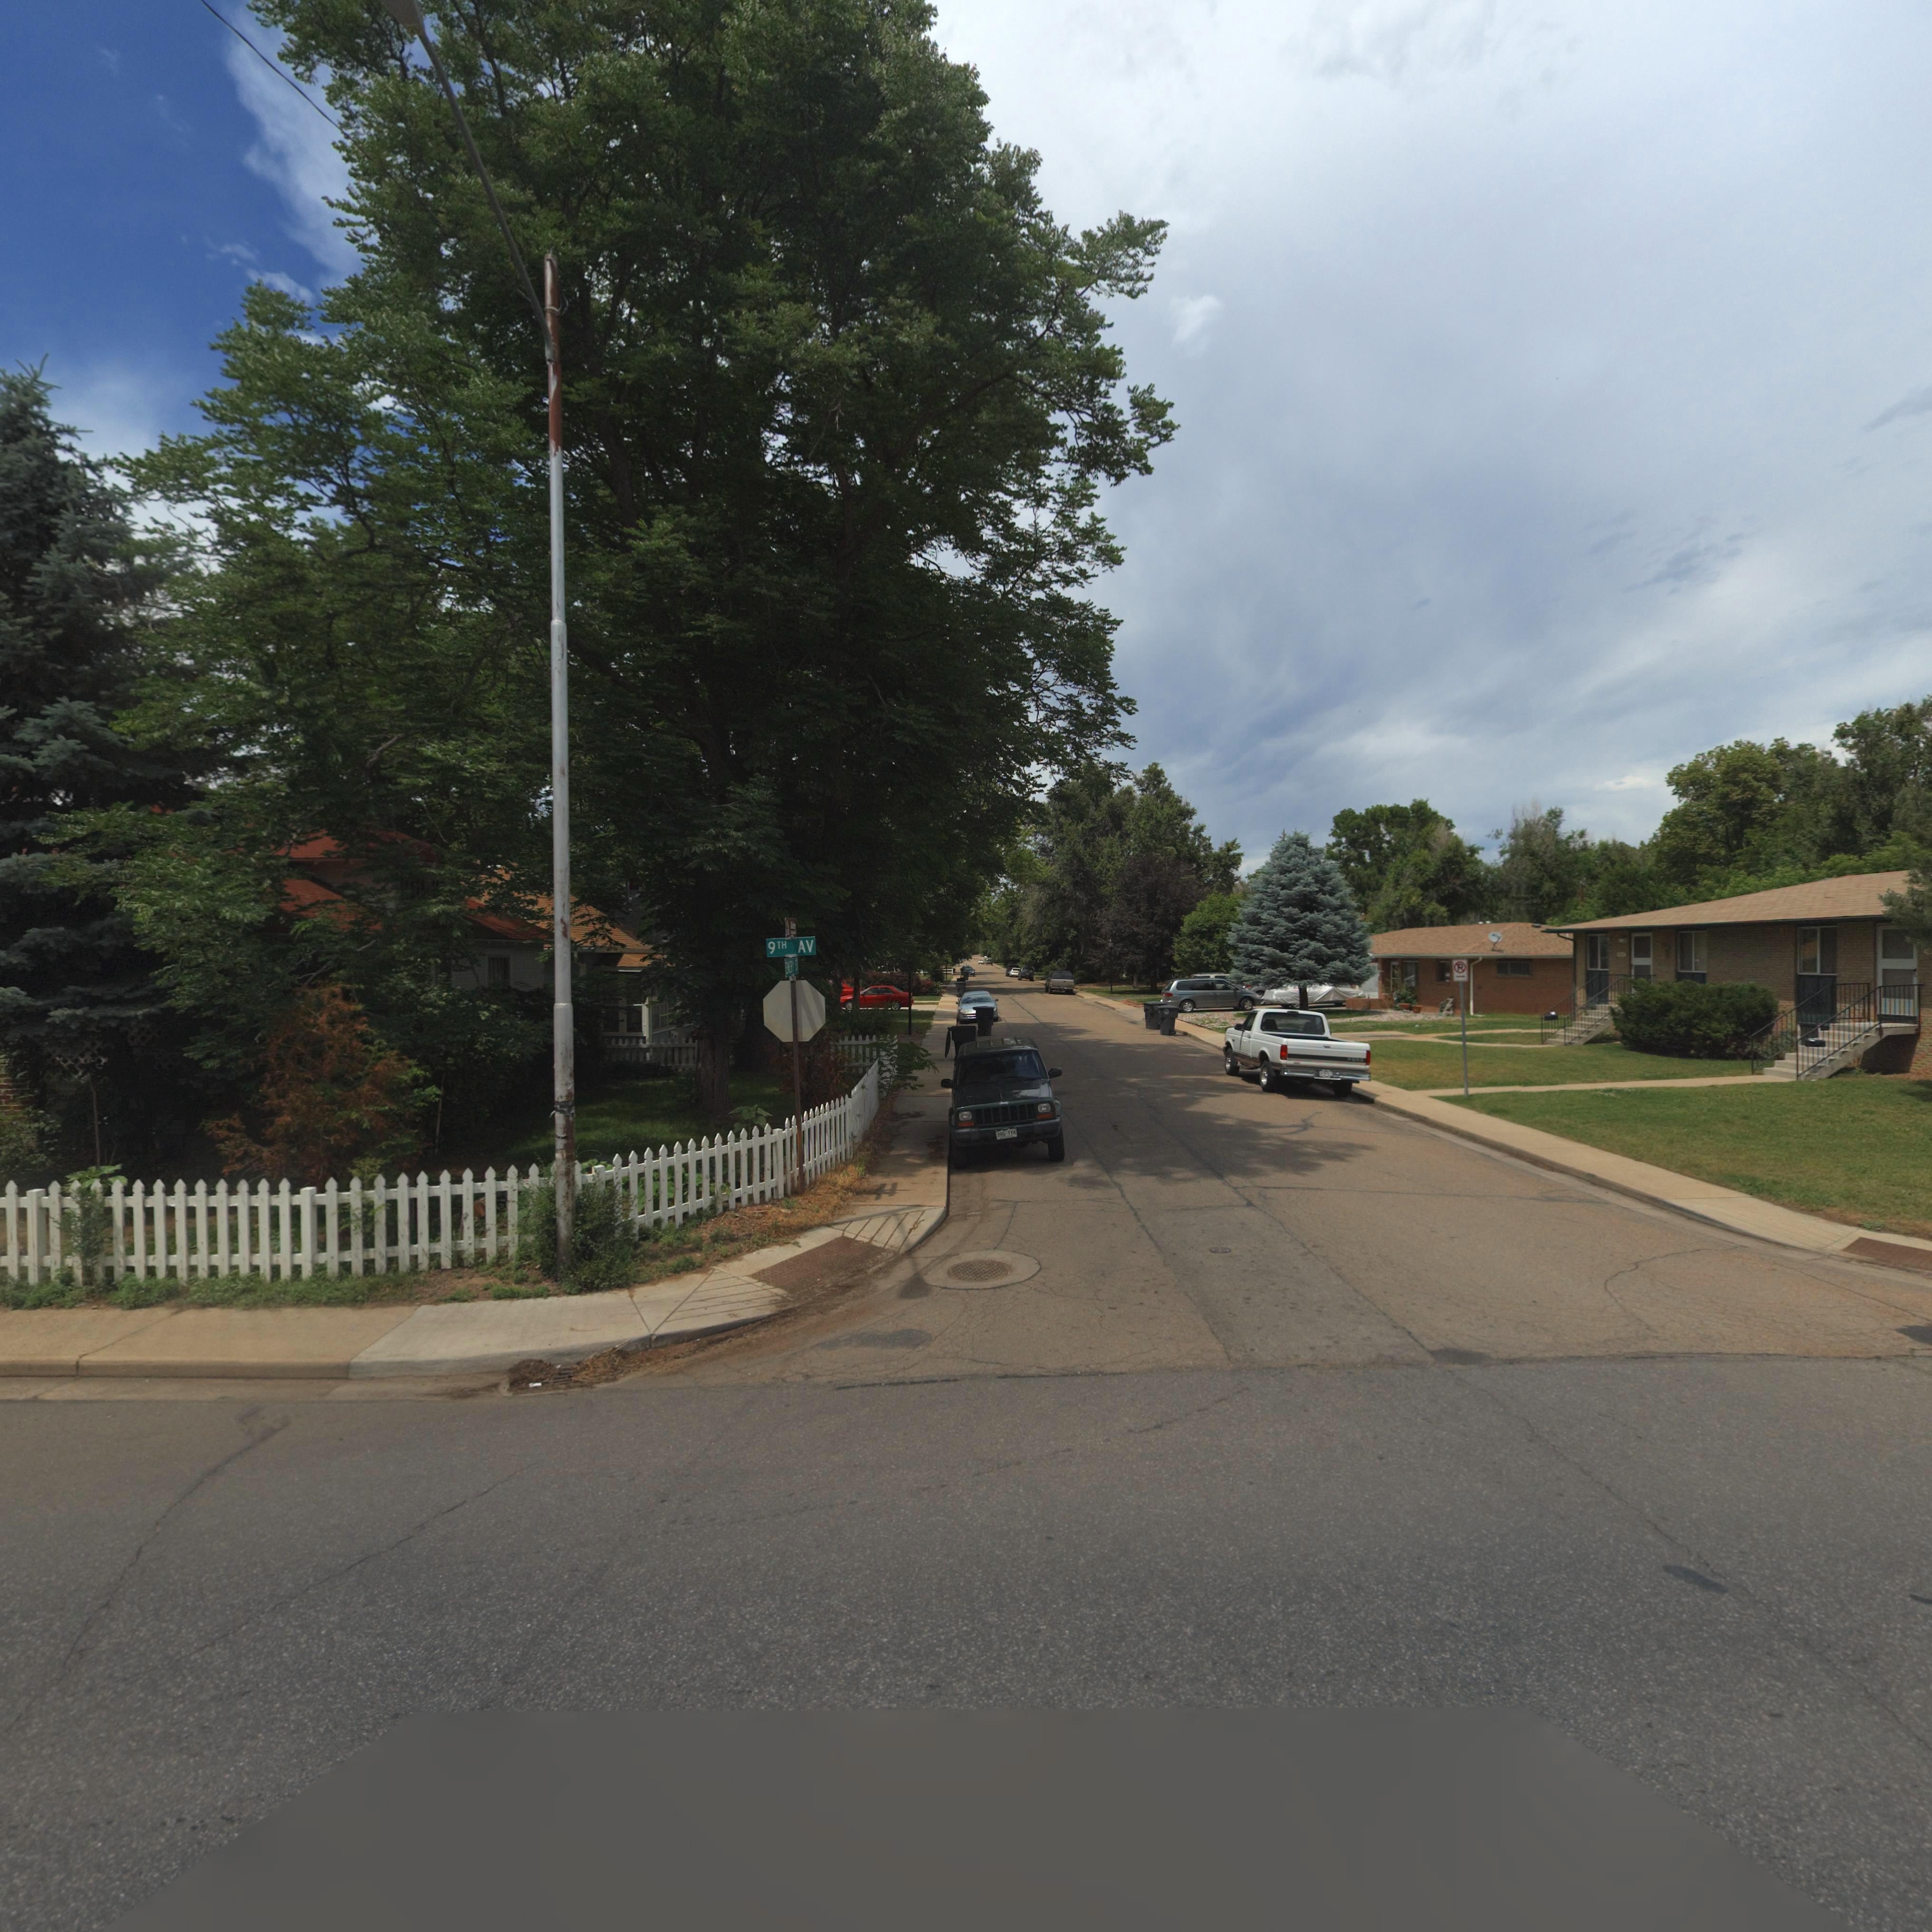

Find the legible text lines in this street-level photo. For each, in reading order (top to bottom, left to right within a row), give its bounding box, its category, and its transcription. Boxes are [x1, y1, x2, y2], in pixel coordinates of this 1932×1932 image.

[767, 939, 814, 955] StreetName: 9TH AV 
[785, 959, 798, 975] StreetName: E*ERY S*